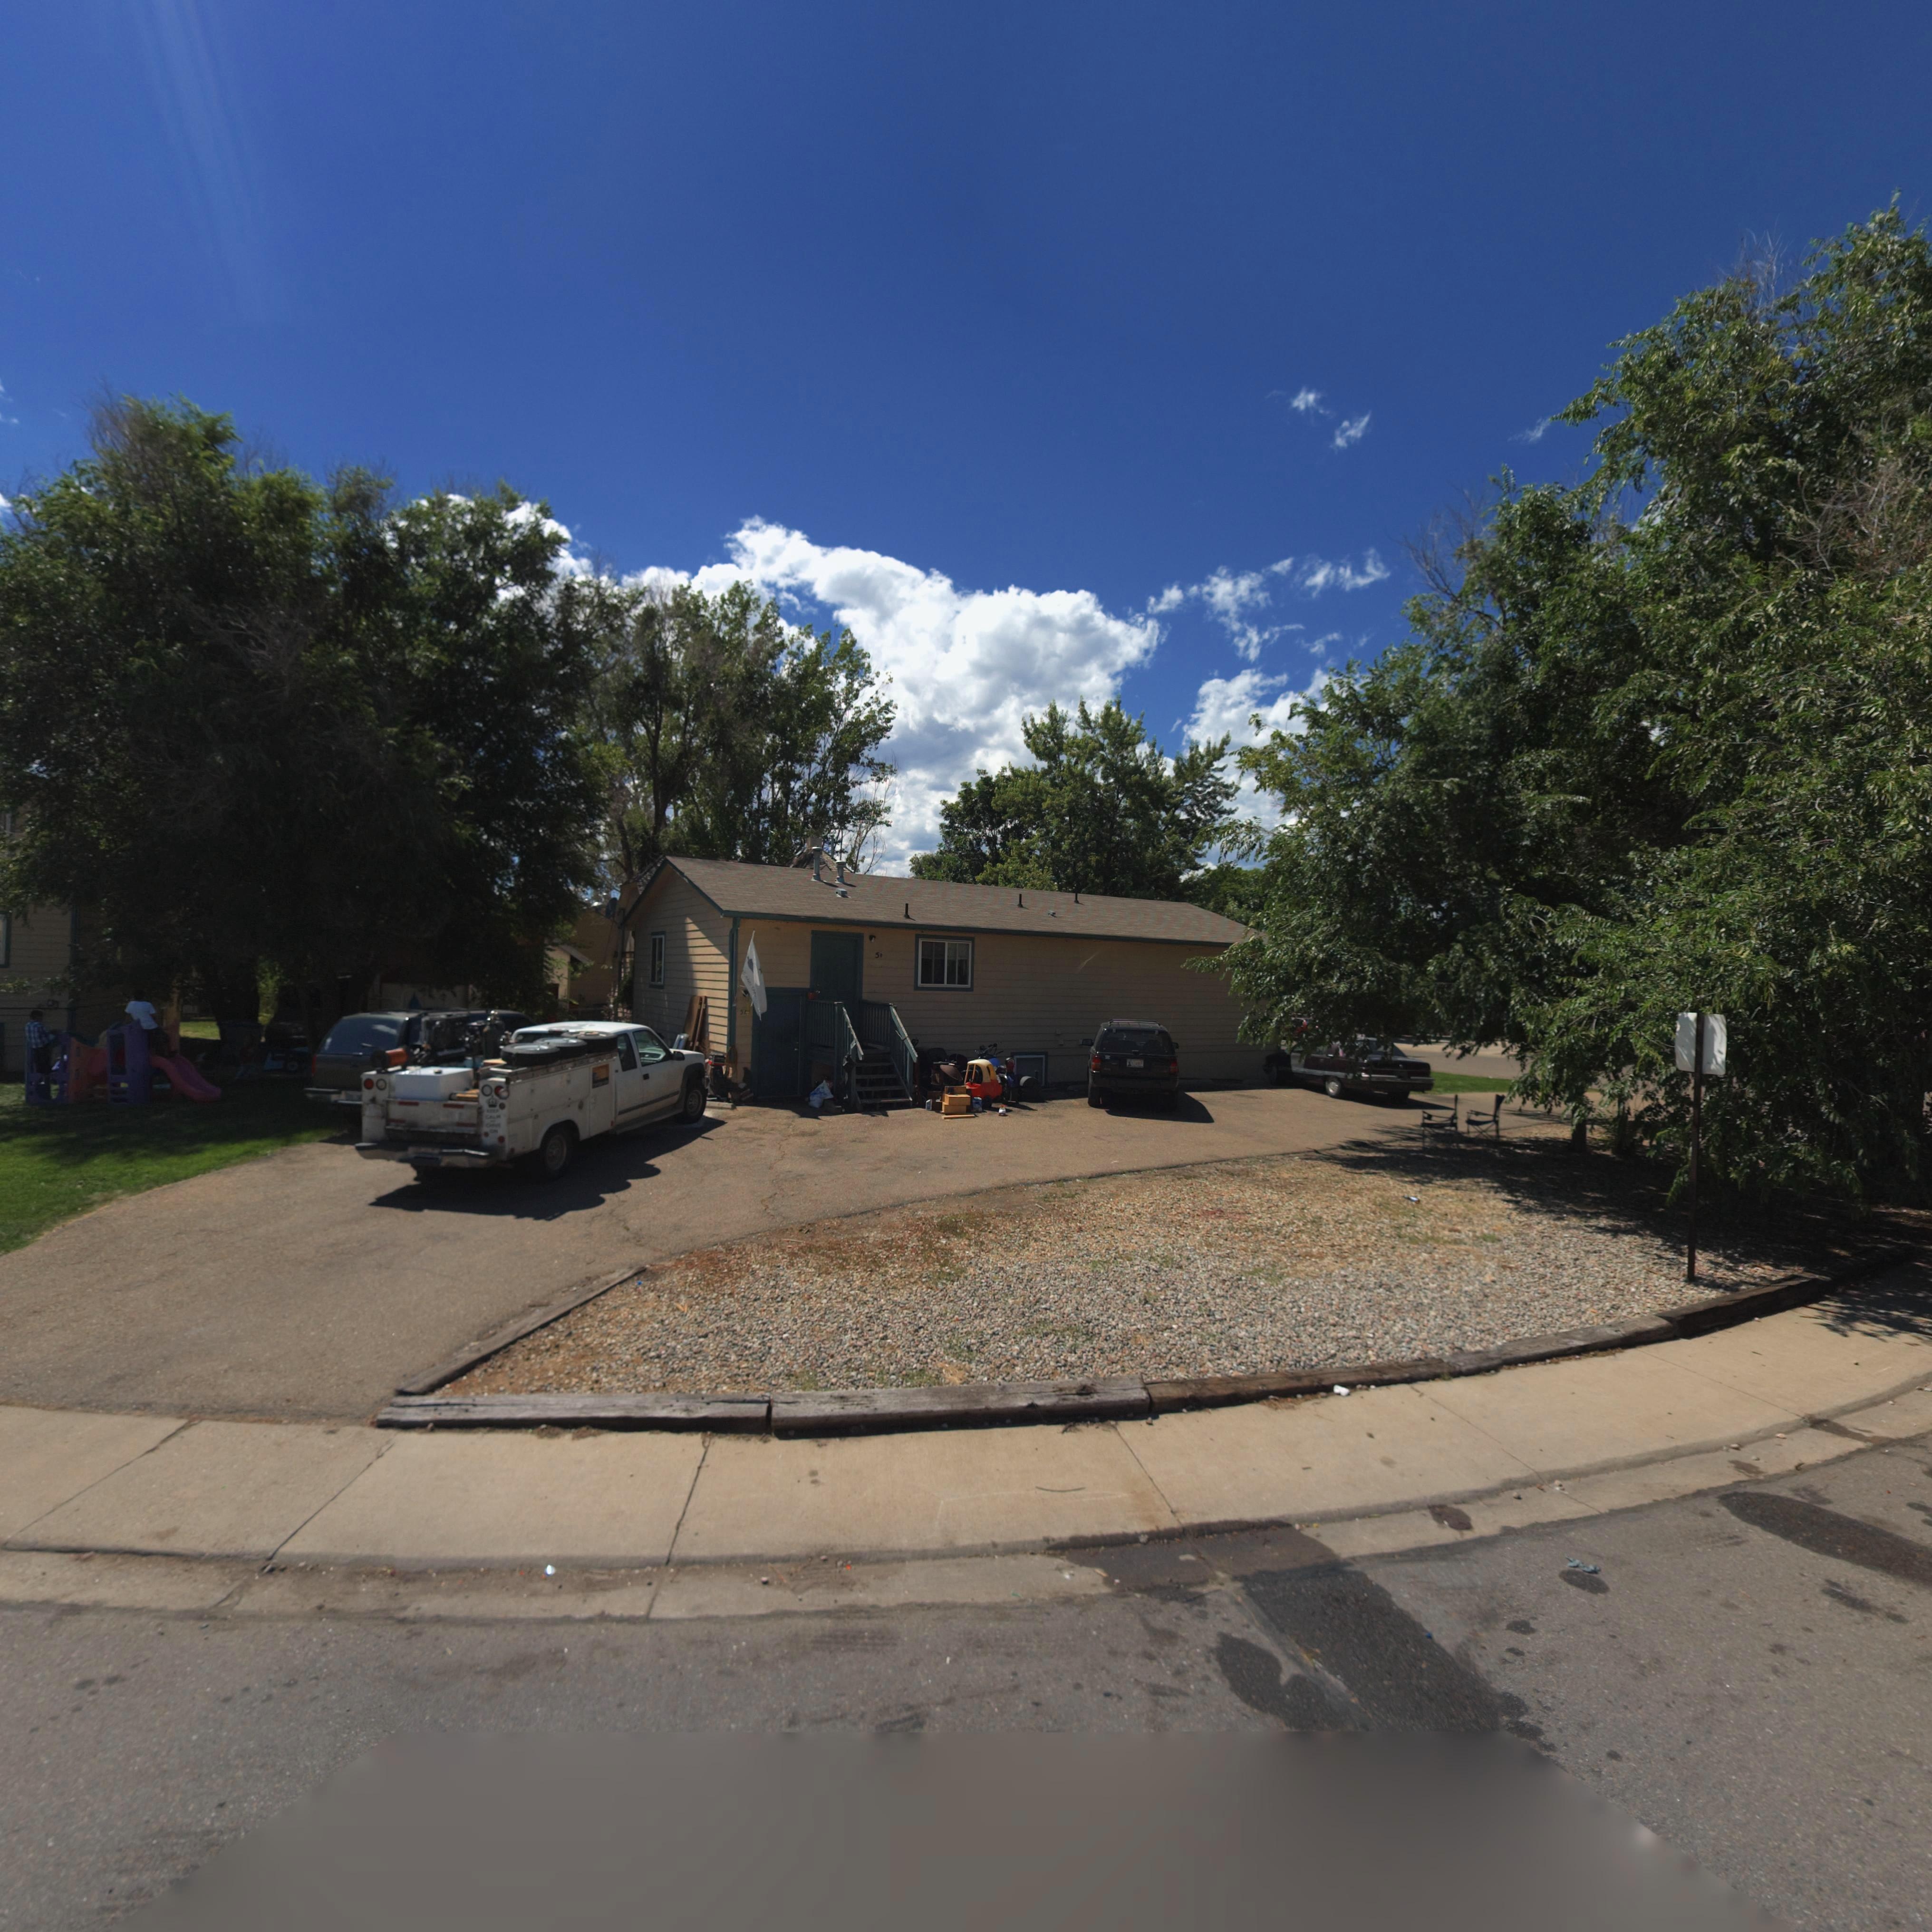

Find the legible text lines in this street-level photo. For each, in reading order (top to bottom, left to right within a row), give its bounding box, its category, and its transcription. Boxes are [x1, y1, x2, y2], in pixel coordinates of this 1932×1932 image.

[874, 952, 879, 958] StreetNumber: 5
[740, 1009, 744, 1014] StreetNumber: 5